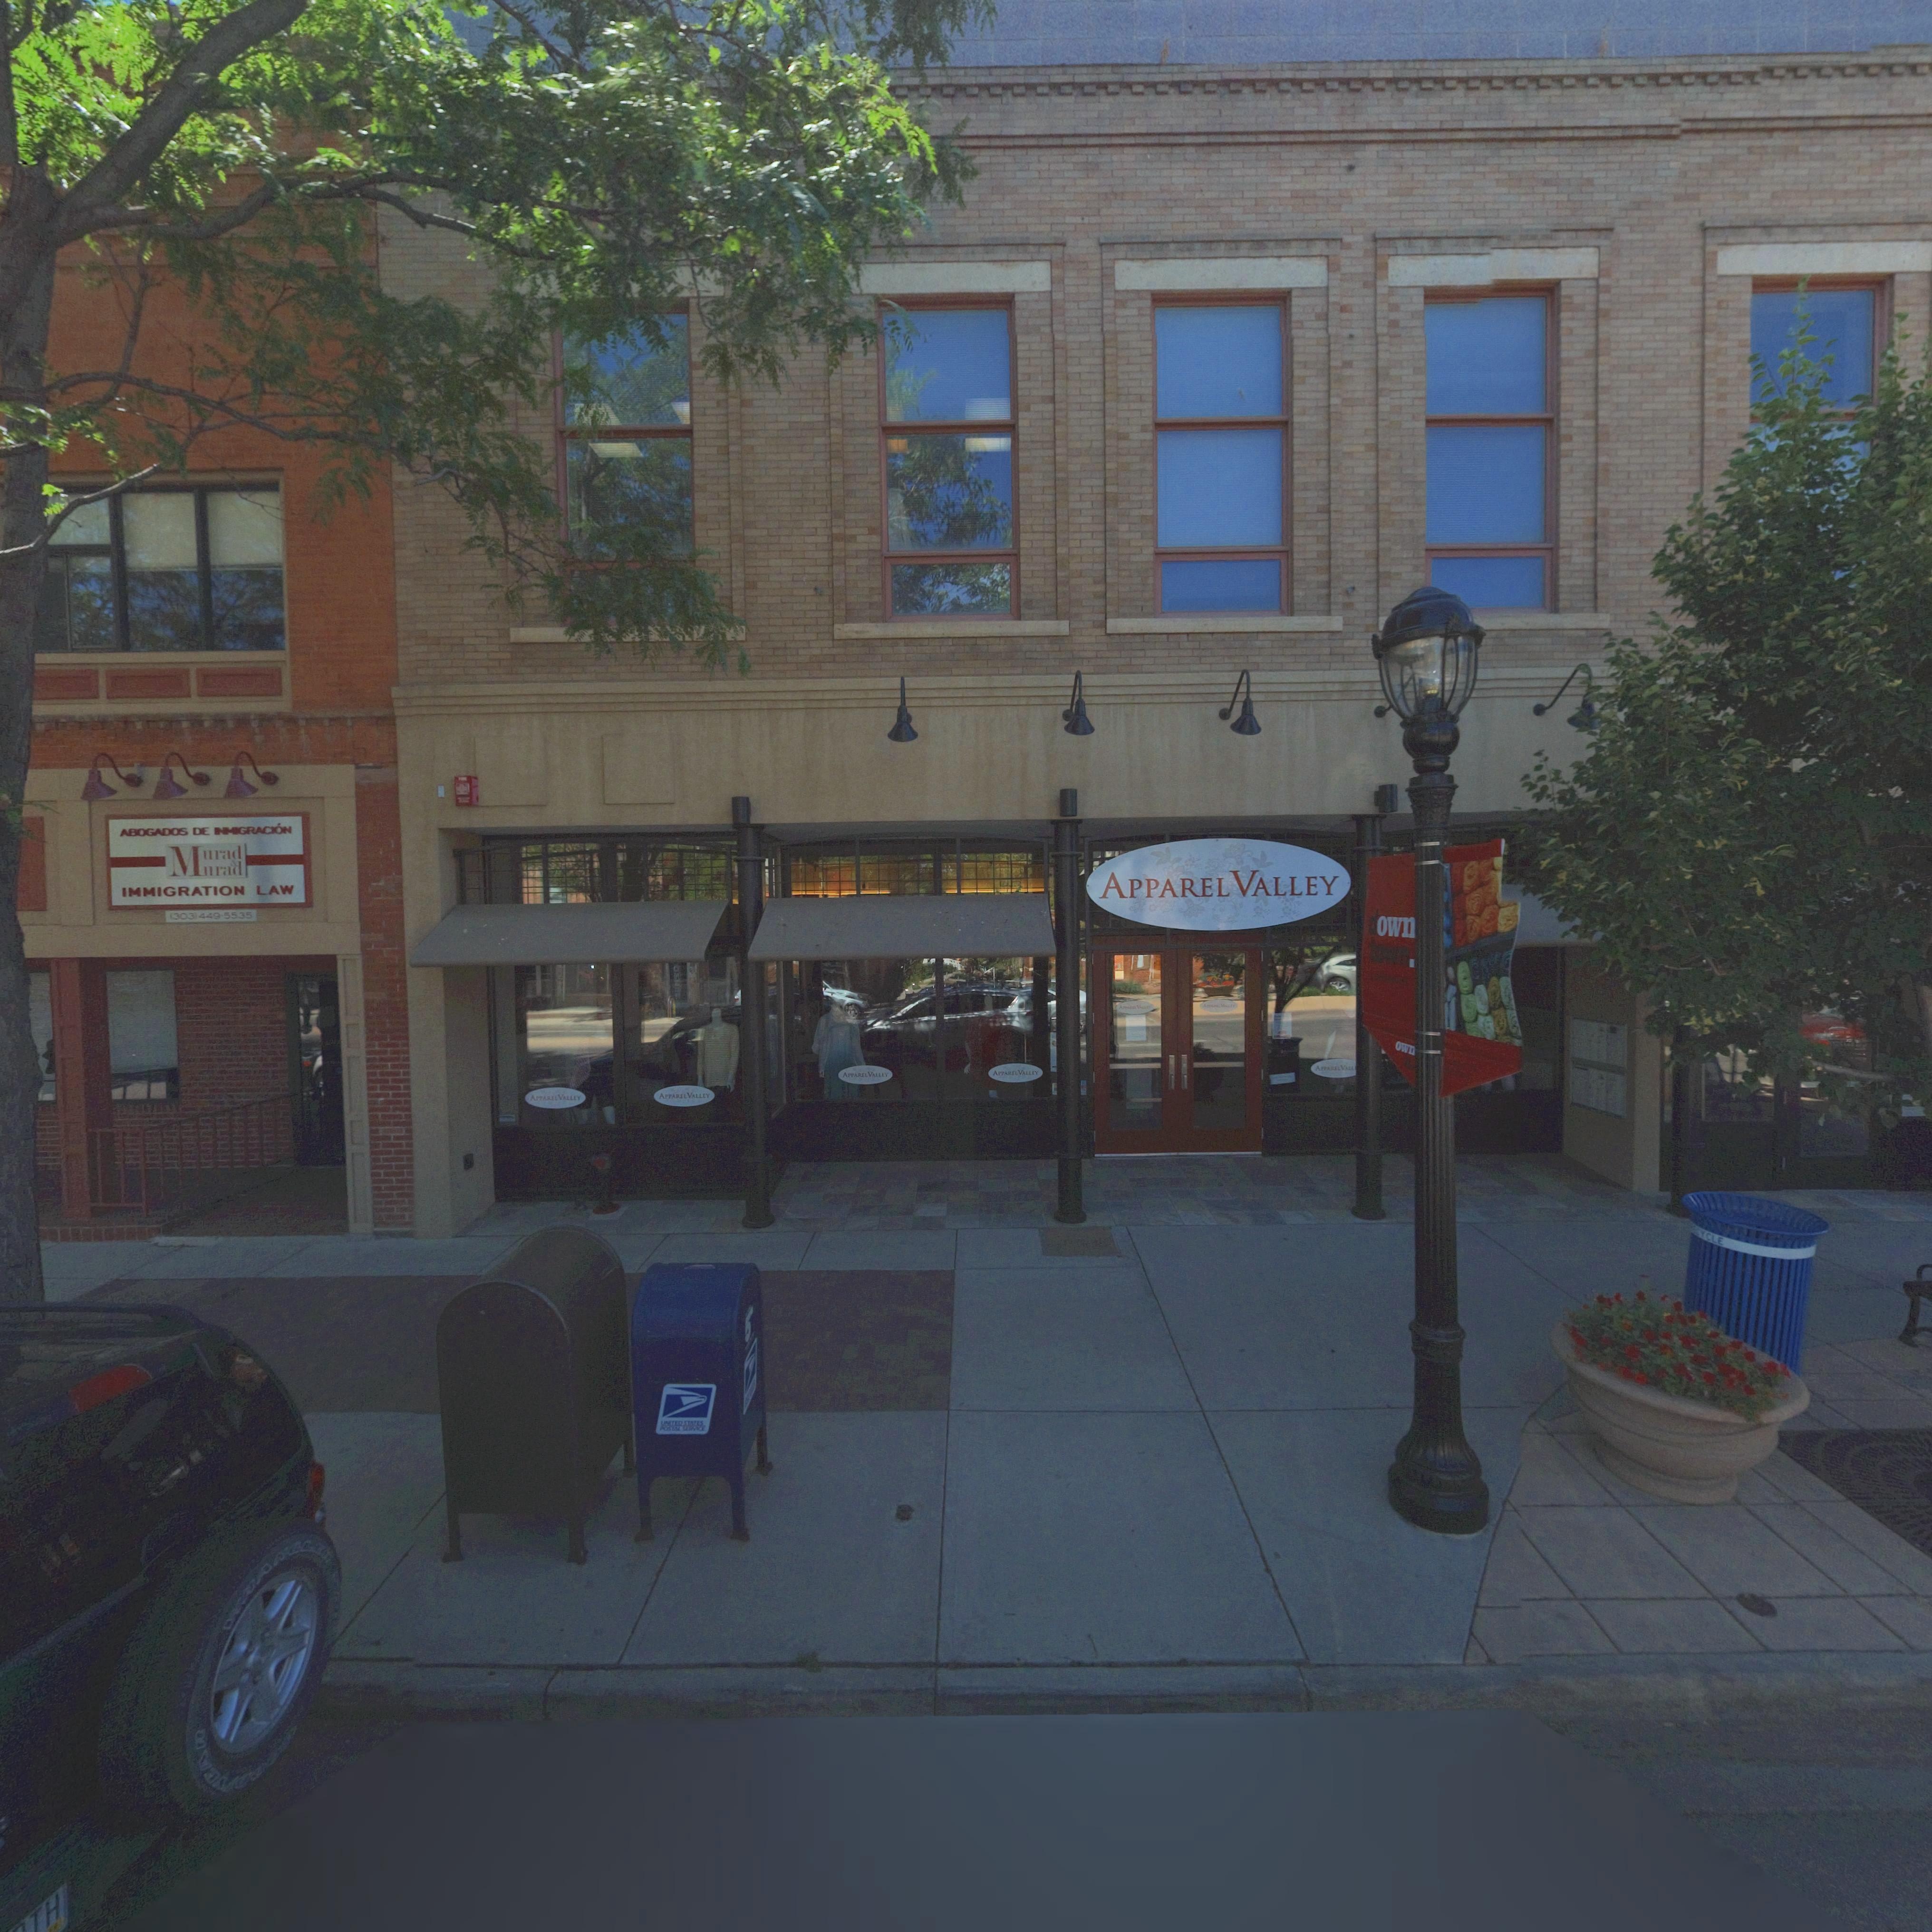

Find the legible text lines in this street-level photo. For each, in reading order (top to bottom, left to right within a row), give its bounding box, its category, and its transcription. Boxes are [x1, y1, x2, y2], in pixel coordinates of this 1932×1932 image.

[119, 823, 292, 837] BusinessName: ABOGADOS DE INMIGRACI*N
[203, 845, 241, 860] BusinessName: urad
[168, 845, 204, 877] BusinessName: M
[203, 860, 242, 876] BusinessName: urad
[1098, 869, 1340, 899] BusinessName: APPAREL VALLEY
[121, 884, 294, 898] BusinessName: IMMIGRATION LAW
[1119, 1005, 1150, 1009] BusinessName: A**A**L VA***Y
[1202, 1003, 1235, 1007] BusinessName: A****** V*LL**
[1315, 1065, 1354, 1071] BusinessName: APPAREL VALL
[842, 1072, 888, 1077] BusinessName: APPAREL VALLEY
[992, 1069, 1038, 1075] BusinessName: APPAREL VALLEY
[530, 1094, 581, 1101] BusinessName: APPARREL VALLEY
[659, 1092, 710, 1099] BusinessName: APPAREL VALLEY